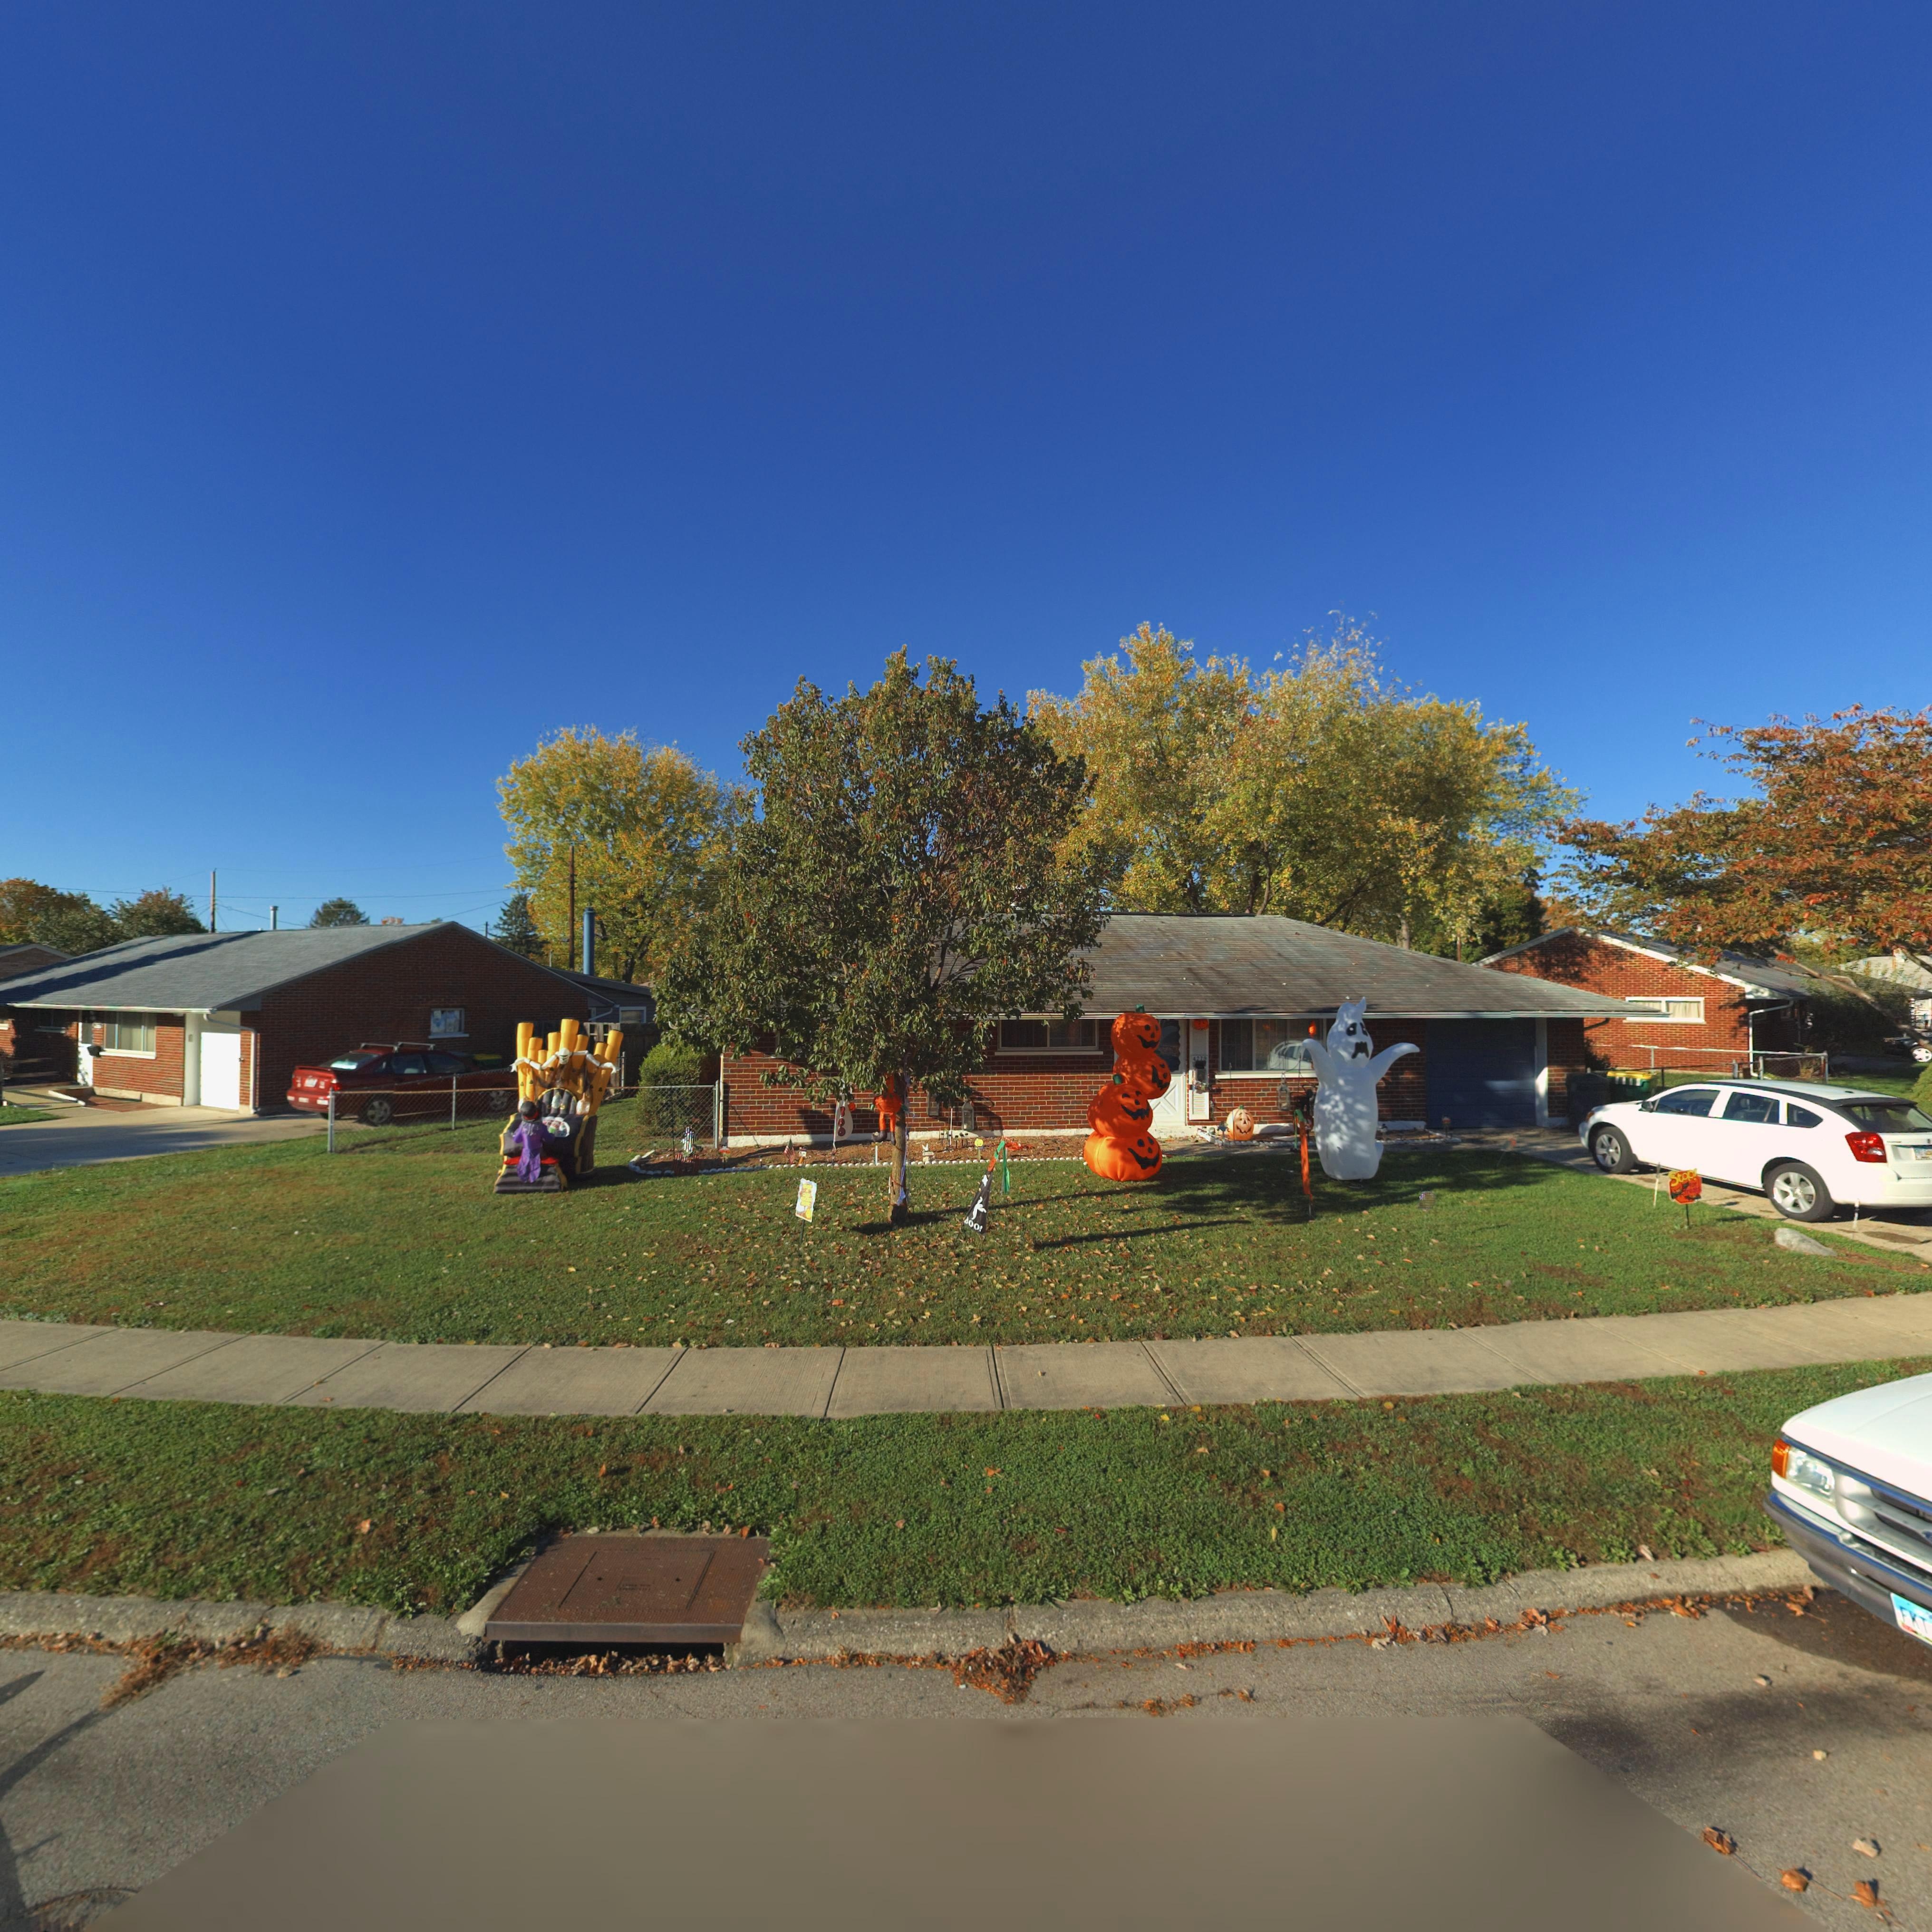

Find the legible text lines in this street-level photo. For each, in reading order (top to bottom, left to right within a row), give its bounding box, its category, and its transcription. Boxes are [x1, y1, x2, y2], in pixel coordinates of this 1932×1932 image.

[1192, 1055, 1207, 1062] StreetNumber: 4770